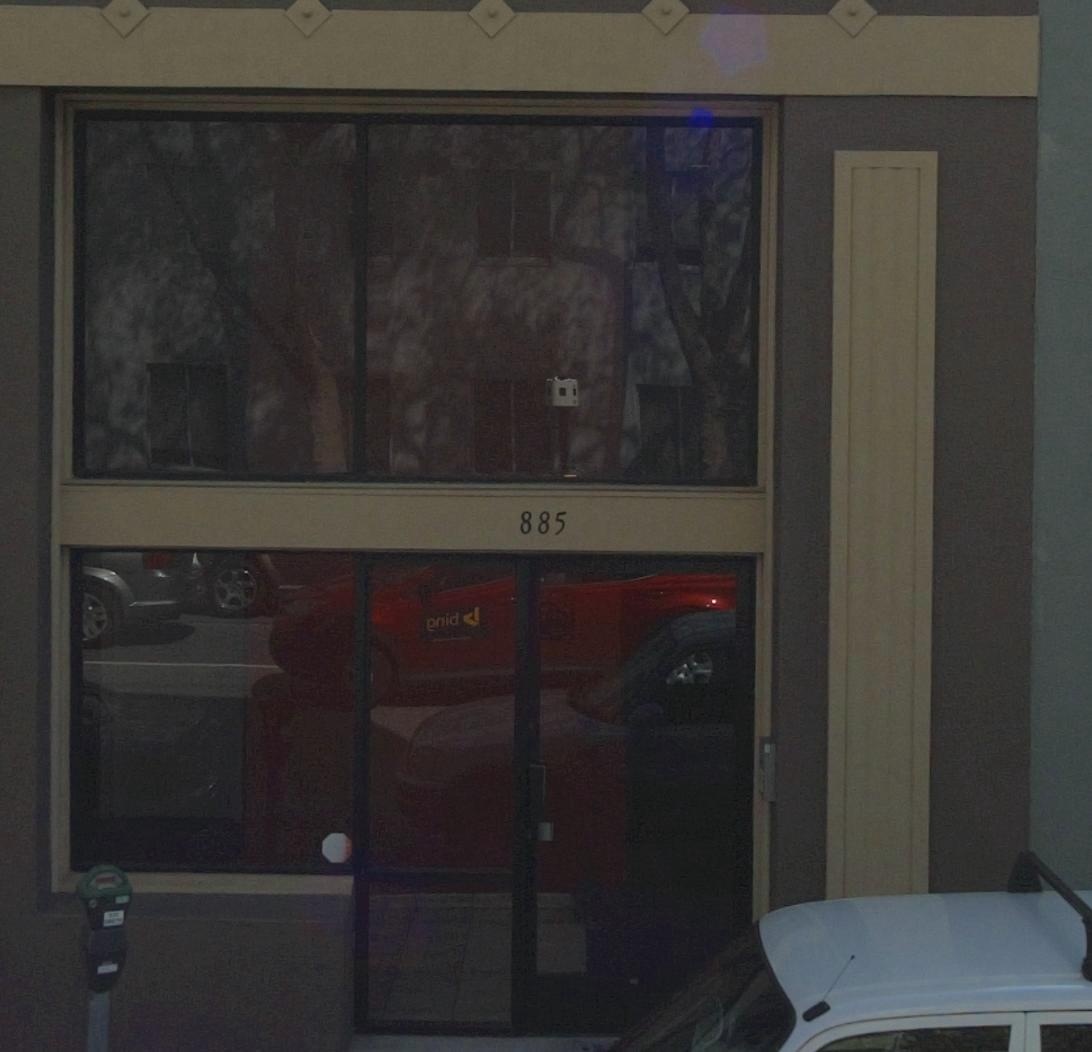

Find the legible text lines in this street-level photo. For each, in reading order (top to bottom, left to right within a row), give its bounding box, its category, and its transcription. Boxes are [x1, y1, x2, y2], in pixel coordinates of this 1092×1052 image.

[517, 508, 569, 539] StreetNumber: 885
[423, 607, 462, 636] None: **i*